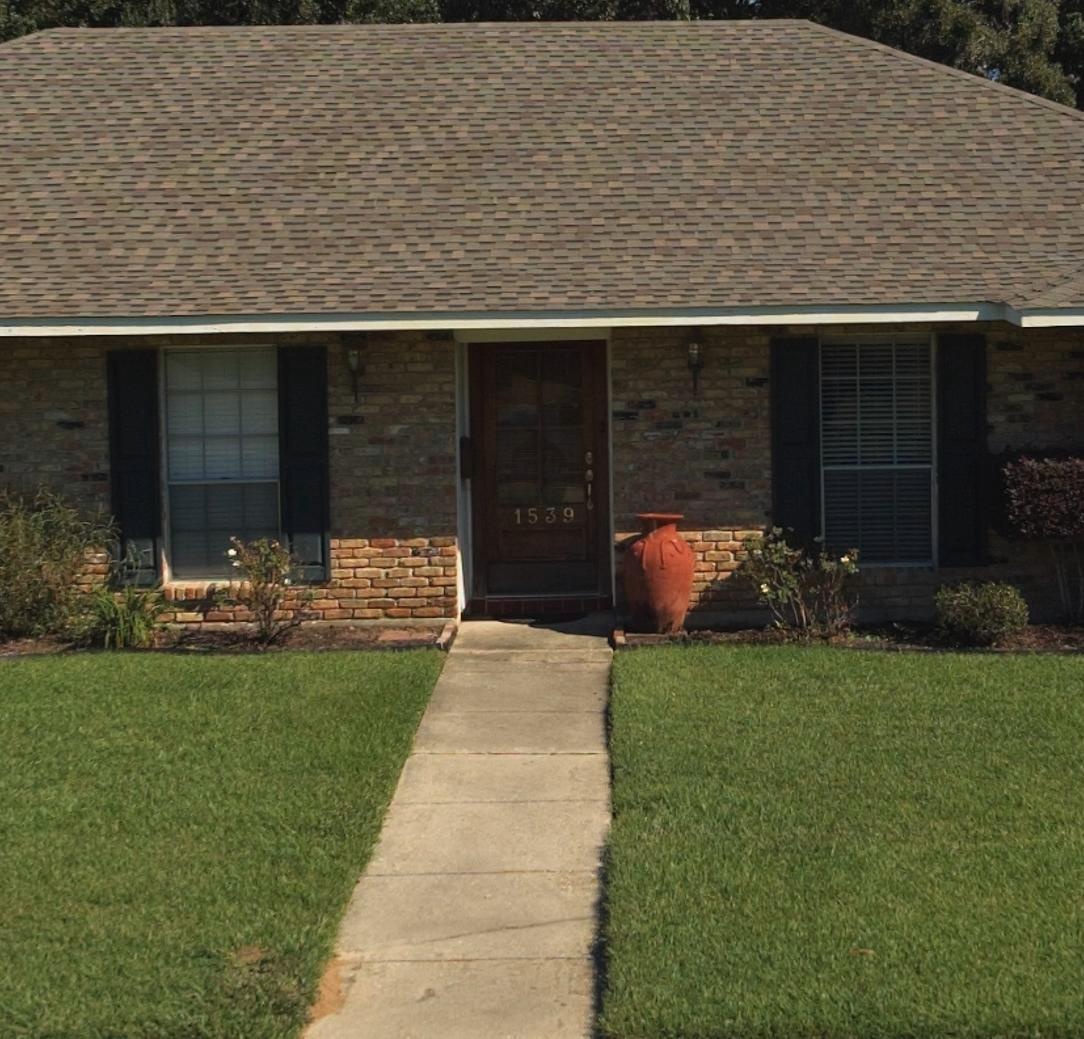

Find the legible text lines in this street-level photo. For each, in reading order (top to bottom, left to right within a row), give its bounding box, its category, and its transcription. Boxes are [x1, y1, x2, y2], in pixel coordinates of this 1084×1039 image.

[511, 505, 577, 526] StreetNumber: 1539